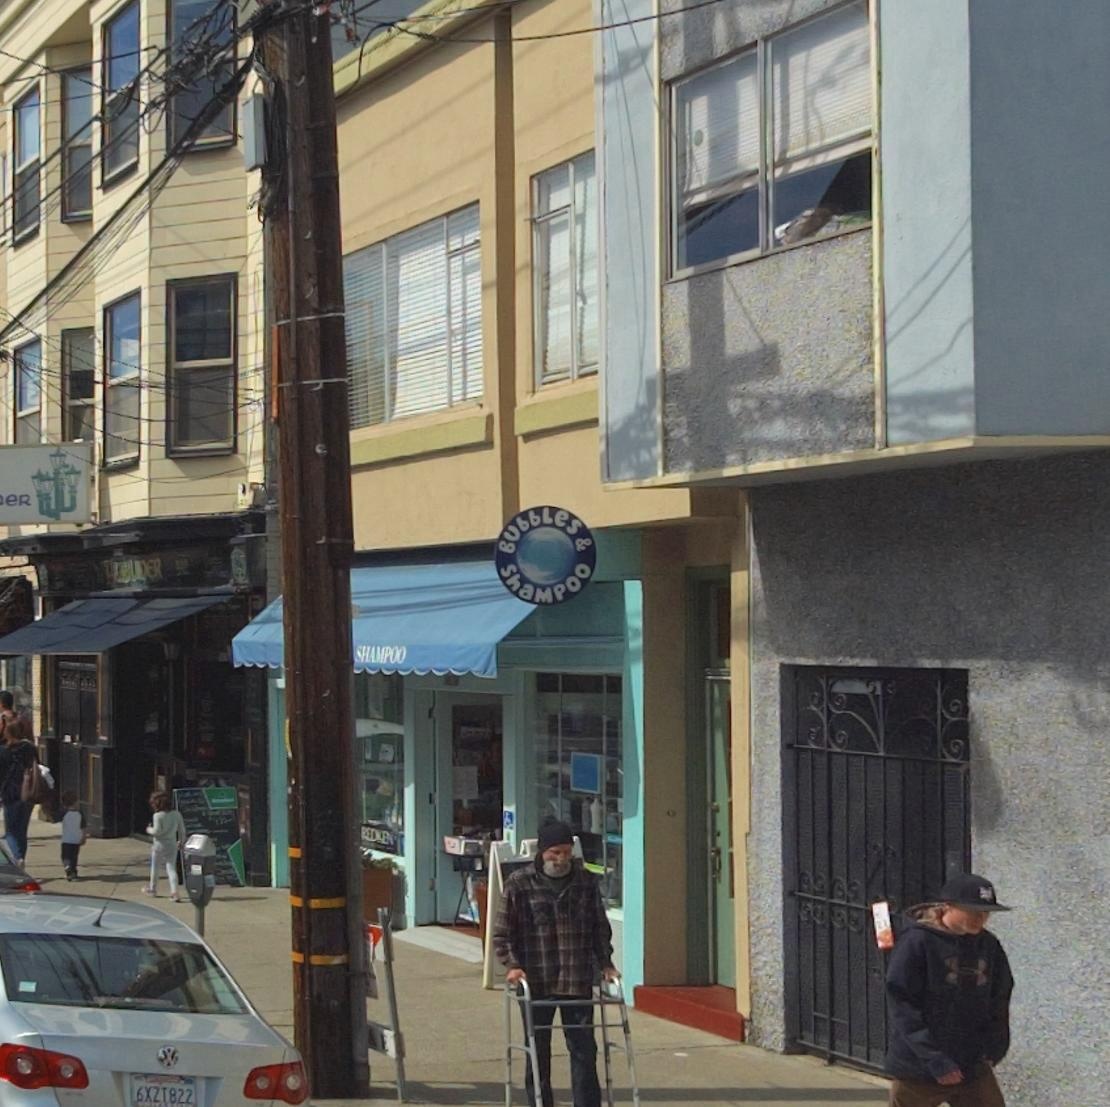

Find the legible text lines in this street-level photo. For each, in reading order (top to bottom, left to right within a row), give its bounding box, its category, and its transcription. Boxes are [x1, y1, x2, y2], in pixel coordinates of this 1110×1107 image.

[6, 493, 33, 508] BusinessName: eR
[497, 506, 593, 554] BusinessName: Bubbles &
[145, 556, 165, 581] BusinessName: ER
[499, 562, 591, 604] BusinessName: Shampoo
[353, 645, 406, 665] BusinessName: SHAMPOO
[361, 824, 396, 846] BusinessName: REDKEN
[136, 1084, 196, 1106] None: 6X2I822